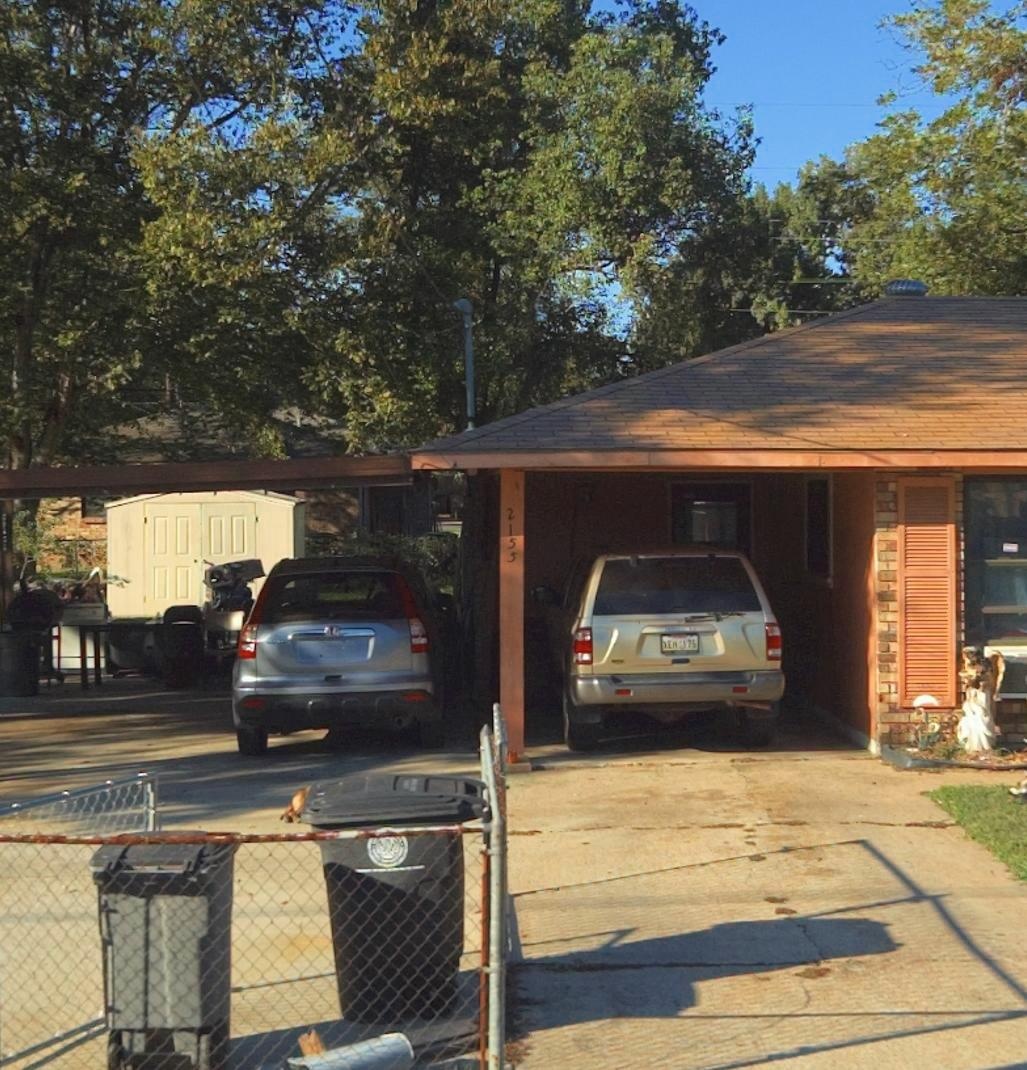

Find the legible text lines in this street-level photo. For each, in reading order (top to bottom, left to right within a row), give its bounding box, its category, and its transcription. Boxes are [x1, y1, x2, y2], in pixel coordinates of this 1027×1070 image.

[505, 506, 519, 564] StreetNumber: 2155
[661, 639, 697, 650] None: YEN*175